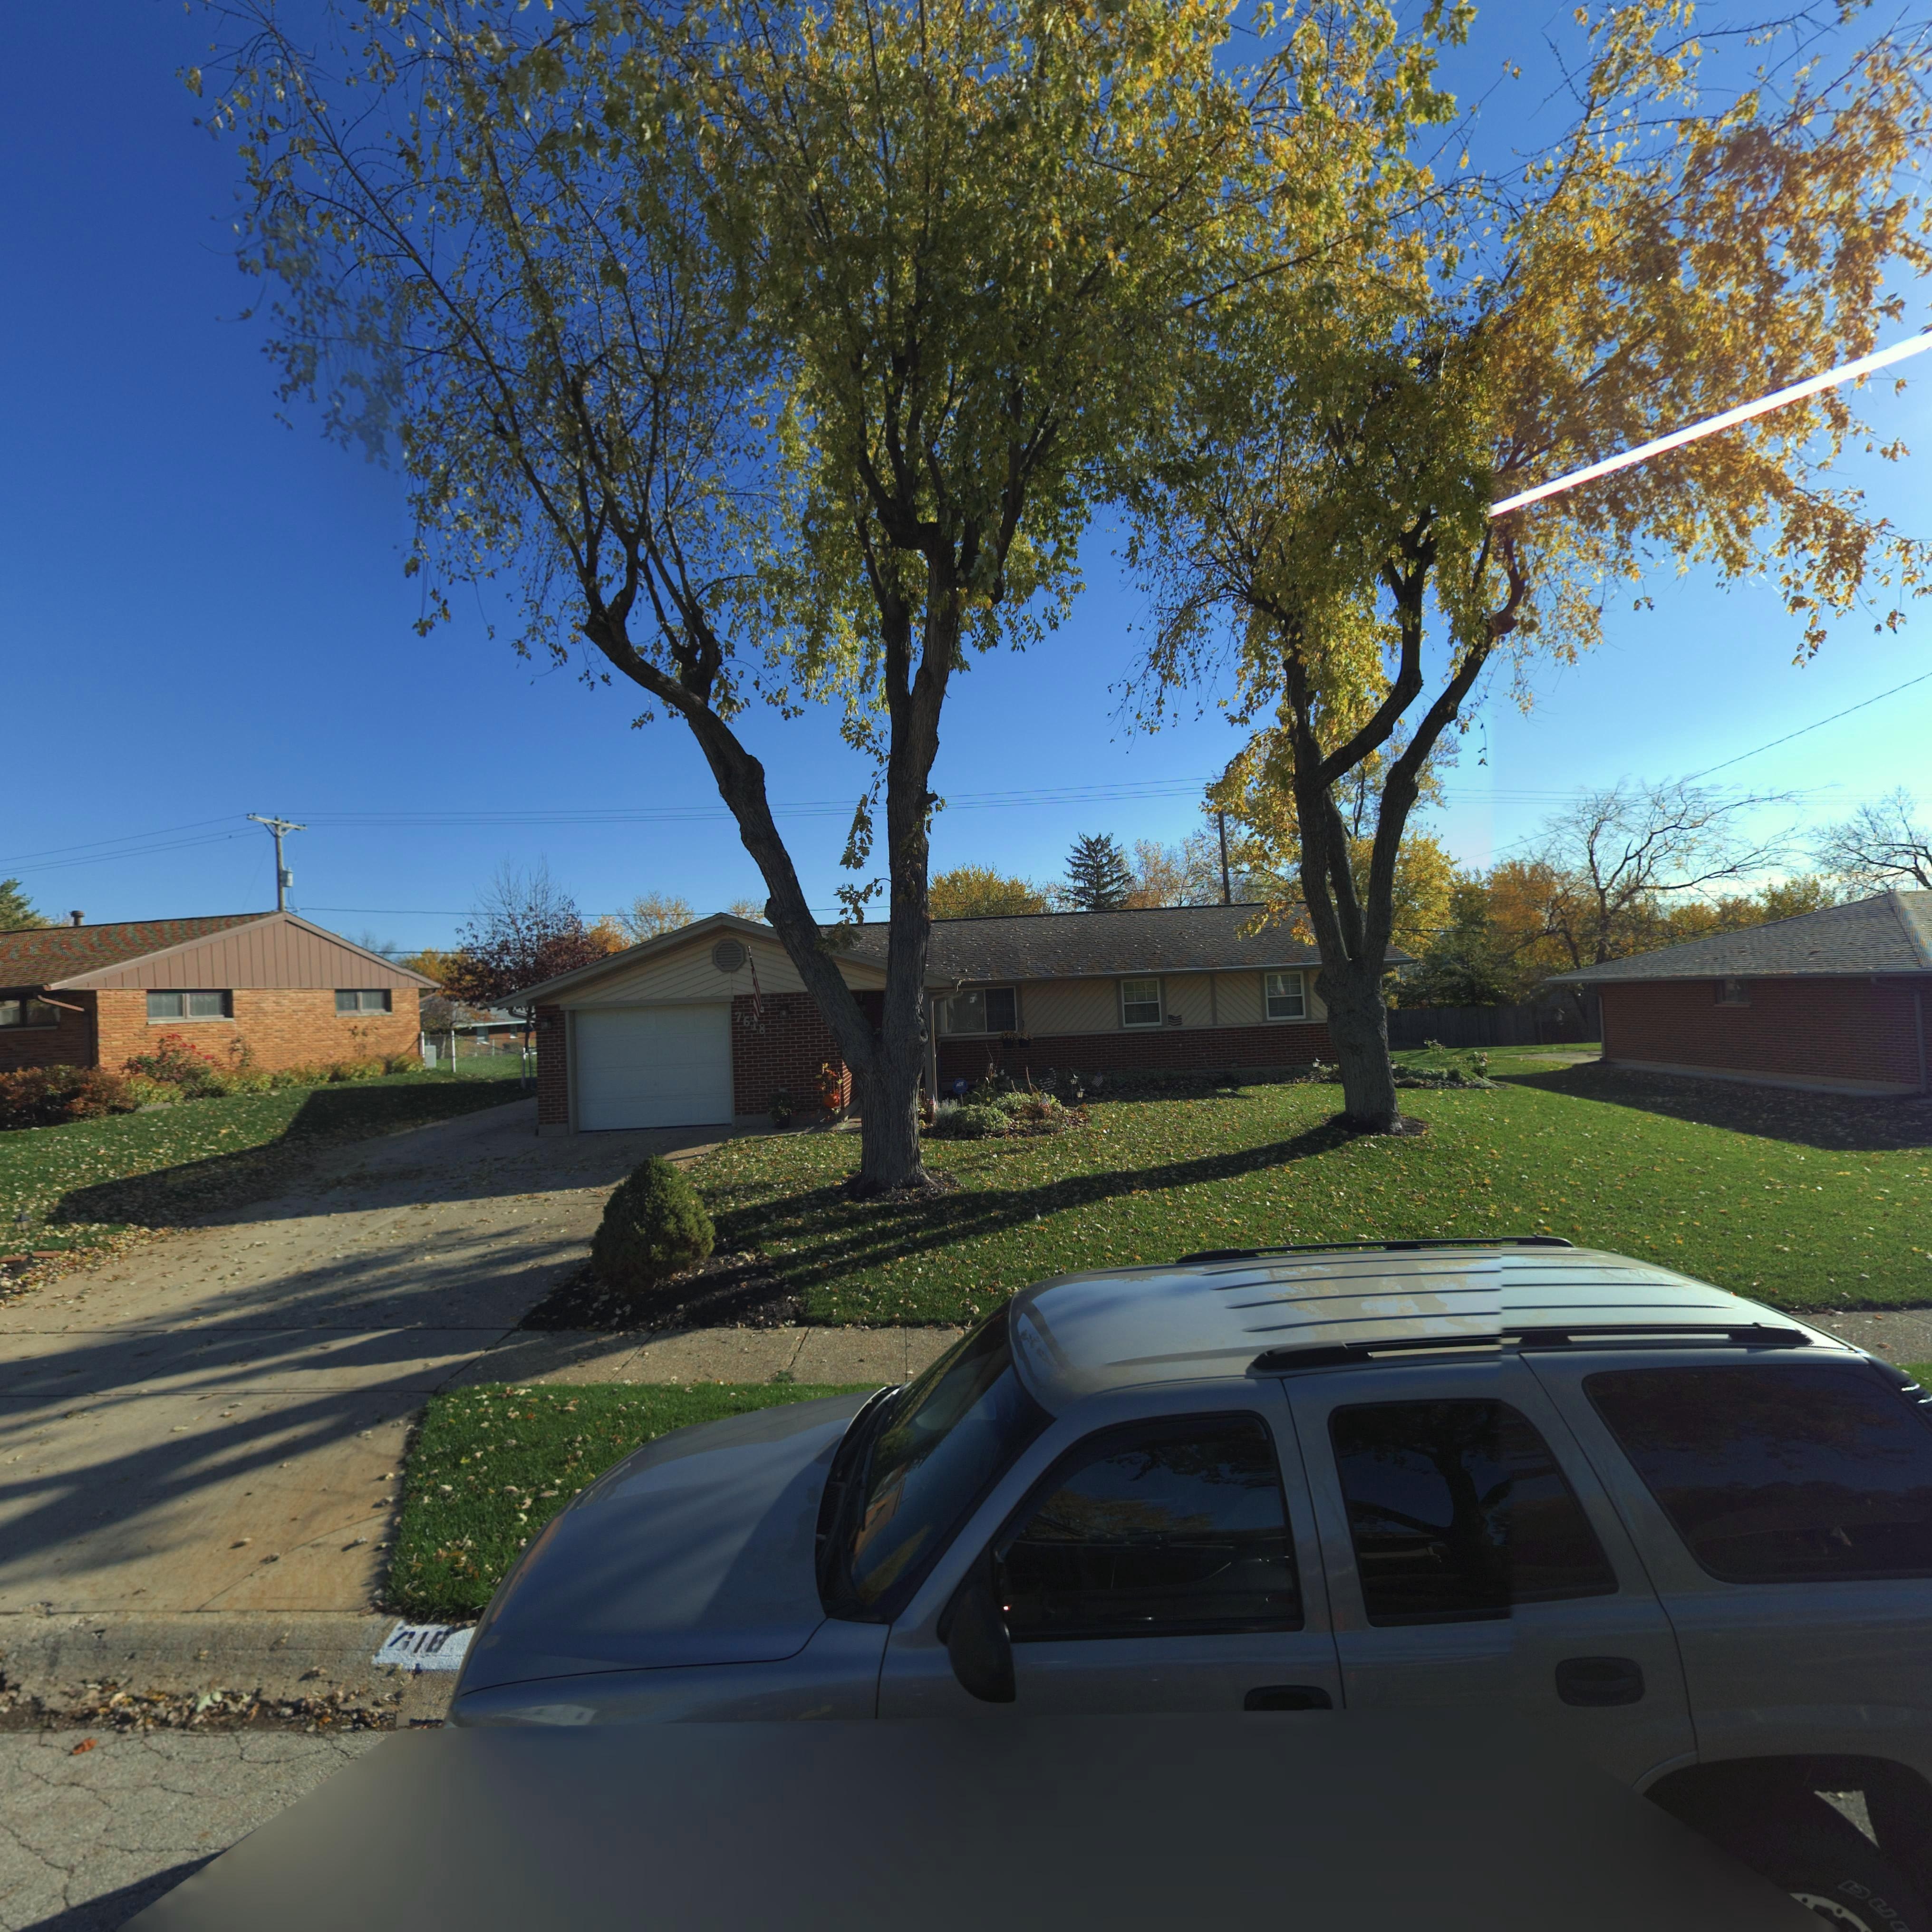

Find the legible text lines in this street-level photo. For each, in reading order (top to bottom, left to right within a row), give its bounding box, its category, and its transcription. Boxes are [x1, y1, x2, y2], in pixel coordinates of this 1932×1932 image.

[733, 1011, 767, 1036] StreetNumber: 7618
[385, 1624, 454, 1656] StreetNumber: **18